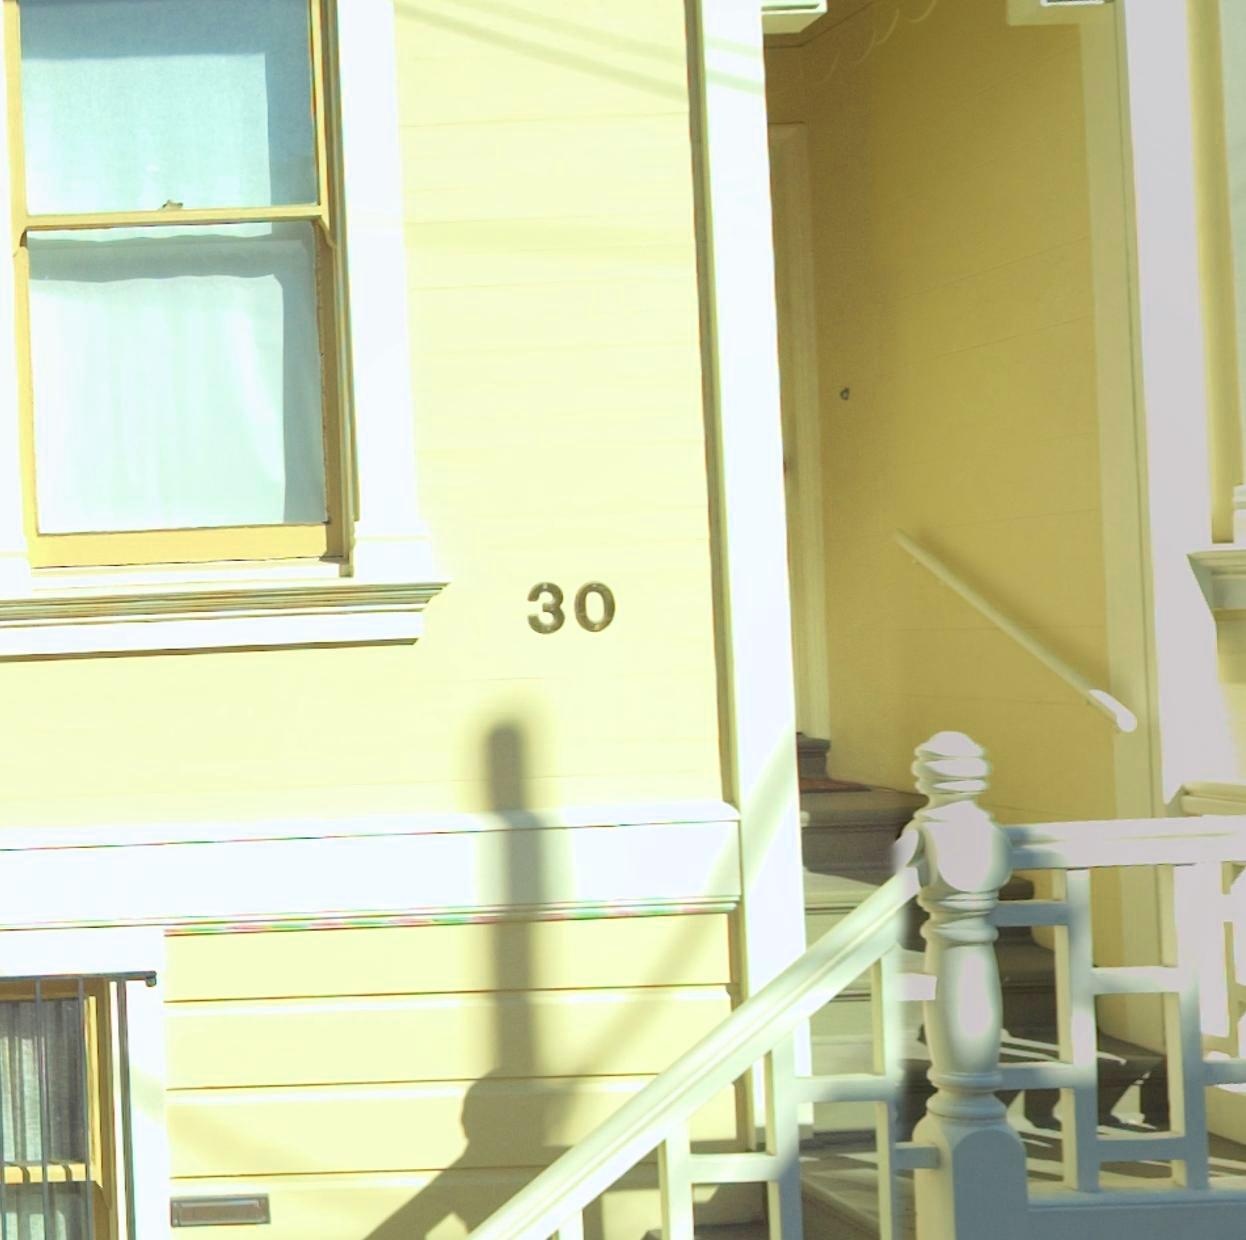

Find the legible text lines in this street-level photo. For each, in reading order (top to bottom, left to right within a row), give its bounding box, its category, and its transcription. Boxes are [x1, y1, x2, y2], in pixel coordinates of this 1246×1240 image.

[526, 580, 617, 636] StreetNumber: 30